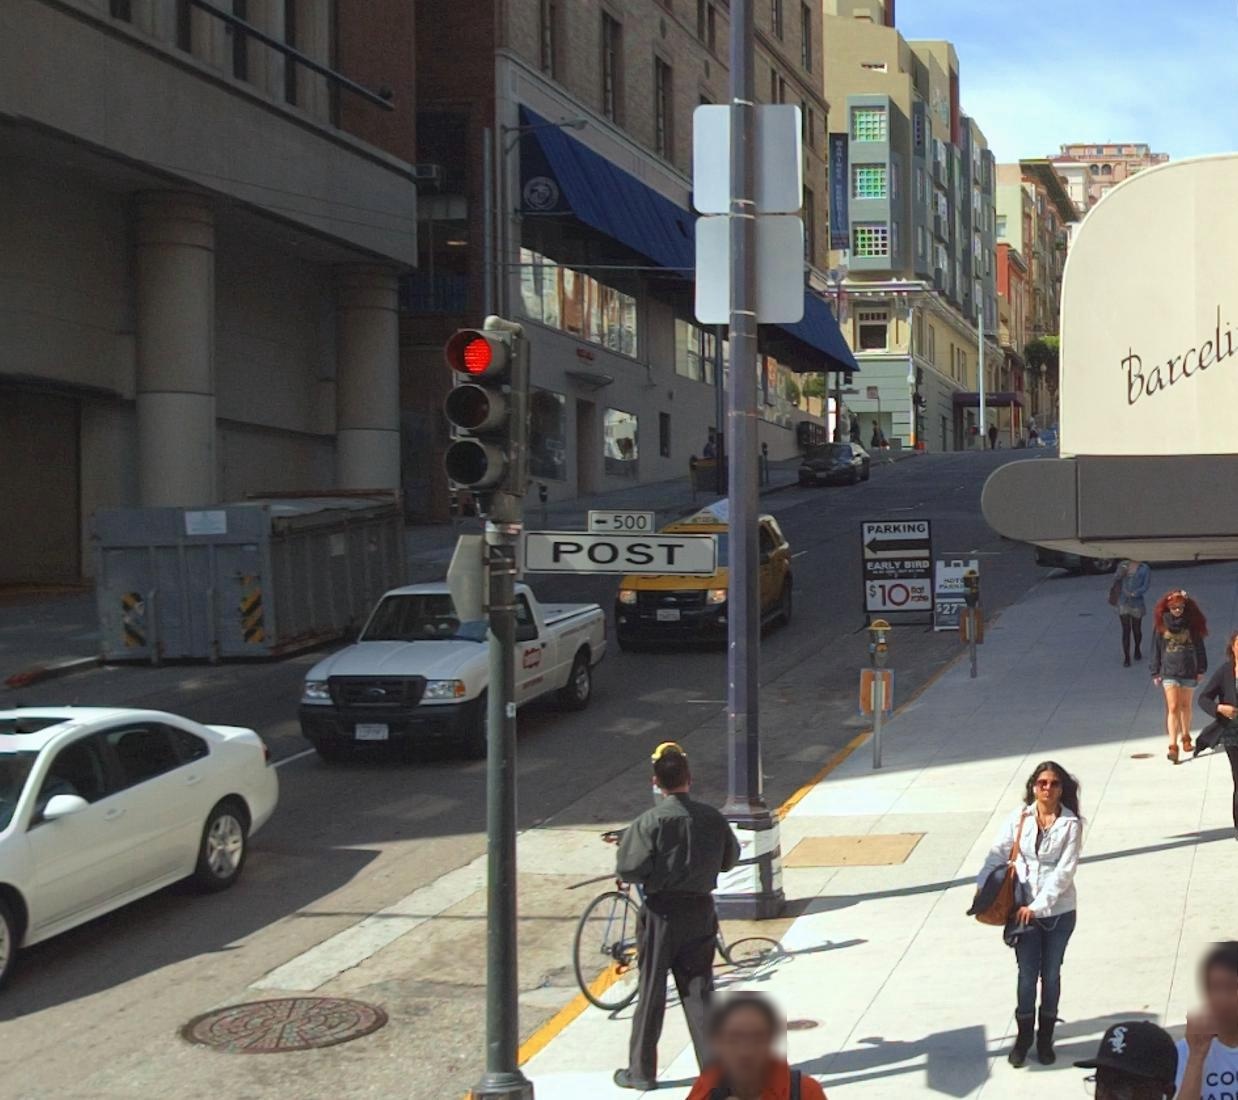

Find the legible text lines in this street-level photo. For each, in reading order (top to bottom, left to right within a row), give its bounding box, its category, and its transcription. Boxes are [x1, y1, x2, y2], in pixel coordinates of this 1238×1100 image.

[1123, 317, 1236, 410] BusinessName: Barceli
[590, 513, 650, 532] StreetNumberRange: <-500
[865, 521, 929, 536] None: PARKING
[550, 540, 687, 568] StreetName: POST
[865, 558, 933, 572] None: EARLY BIRD
[876, 581, 912, 609] None: 10
[940, 602, 960, 617] None: 27
[1204, 1069, 1237, 1089] None: CO